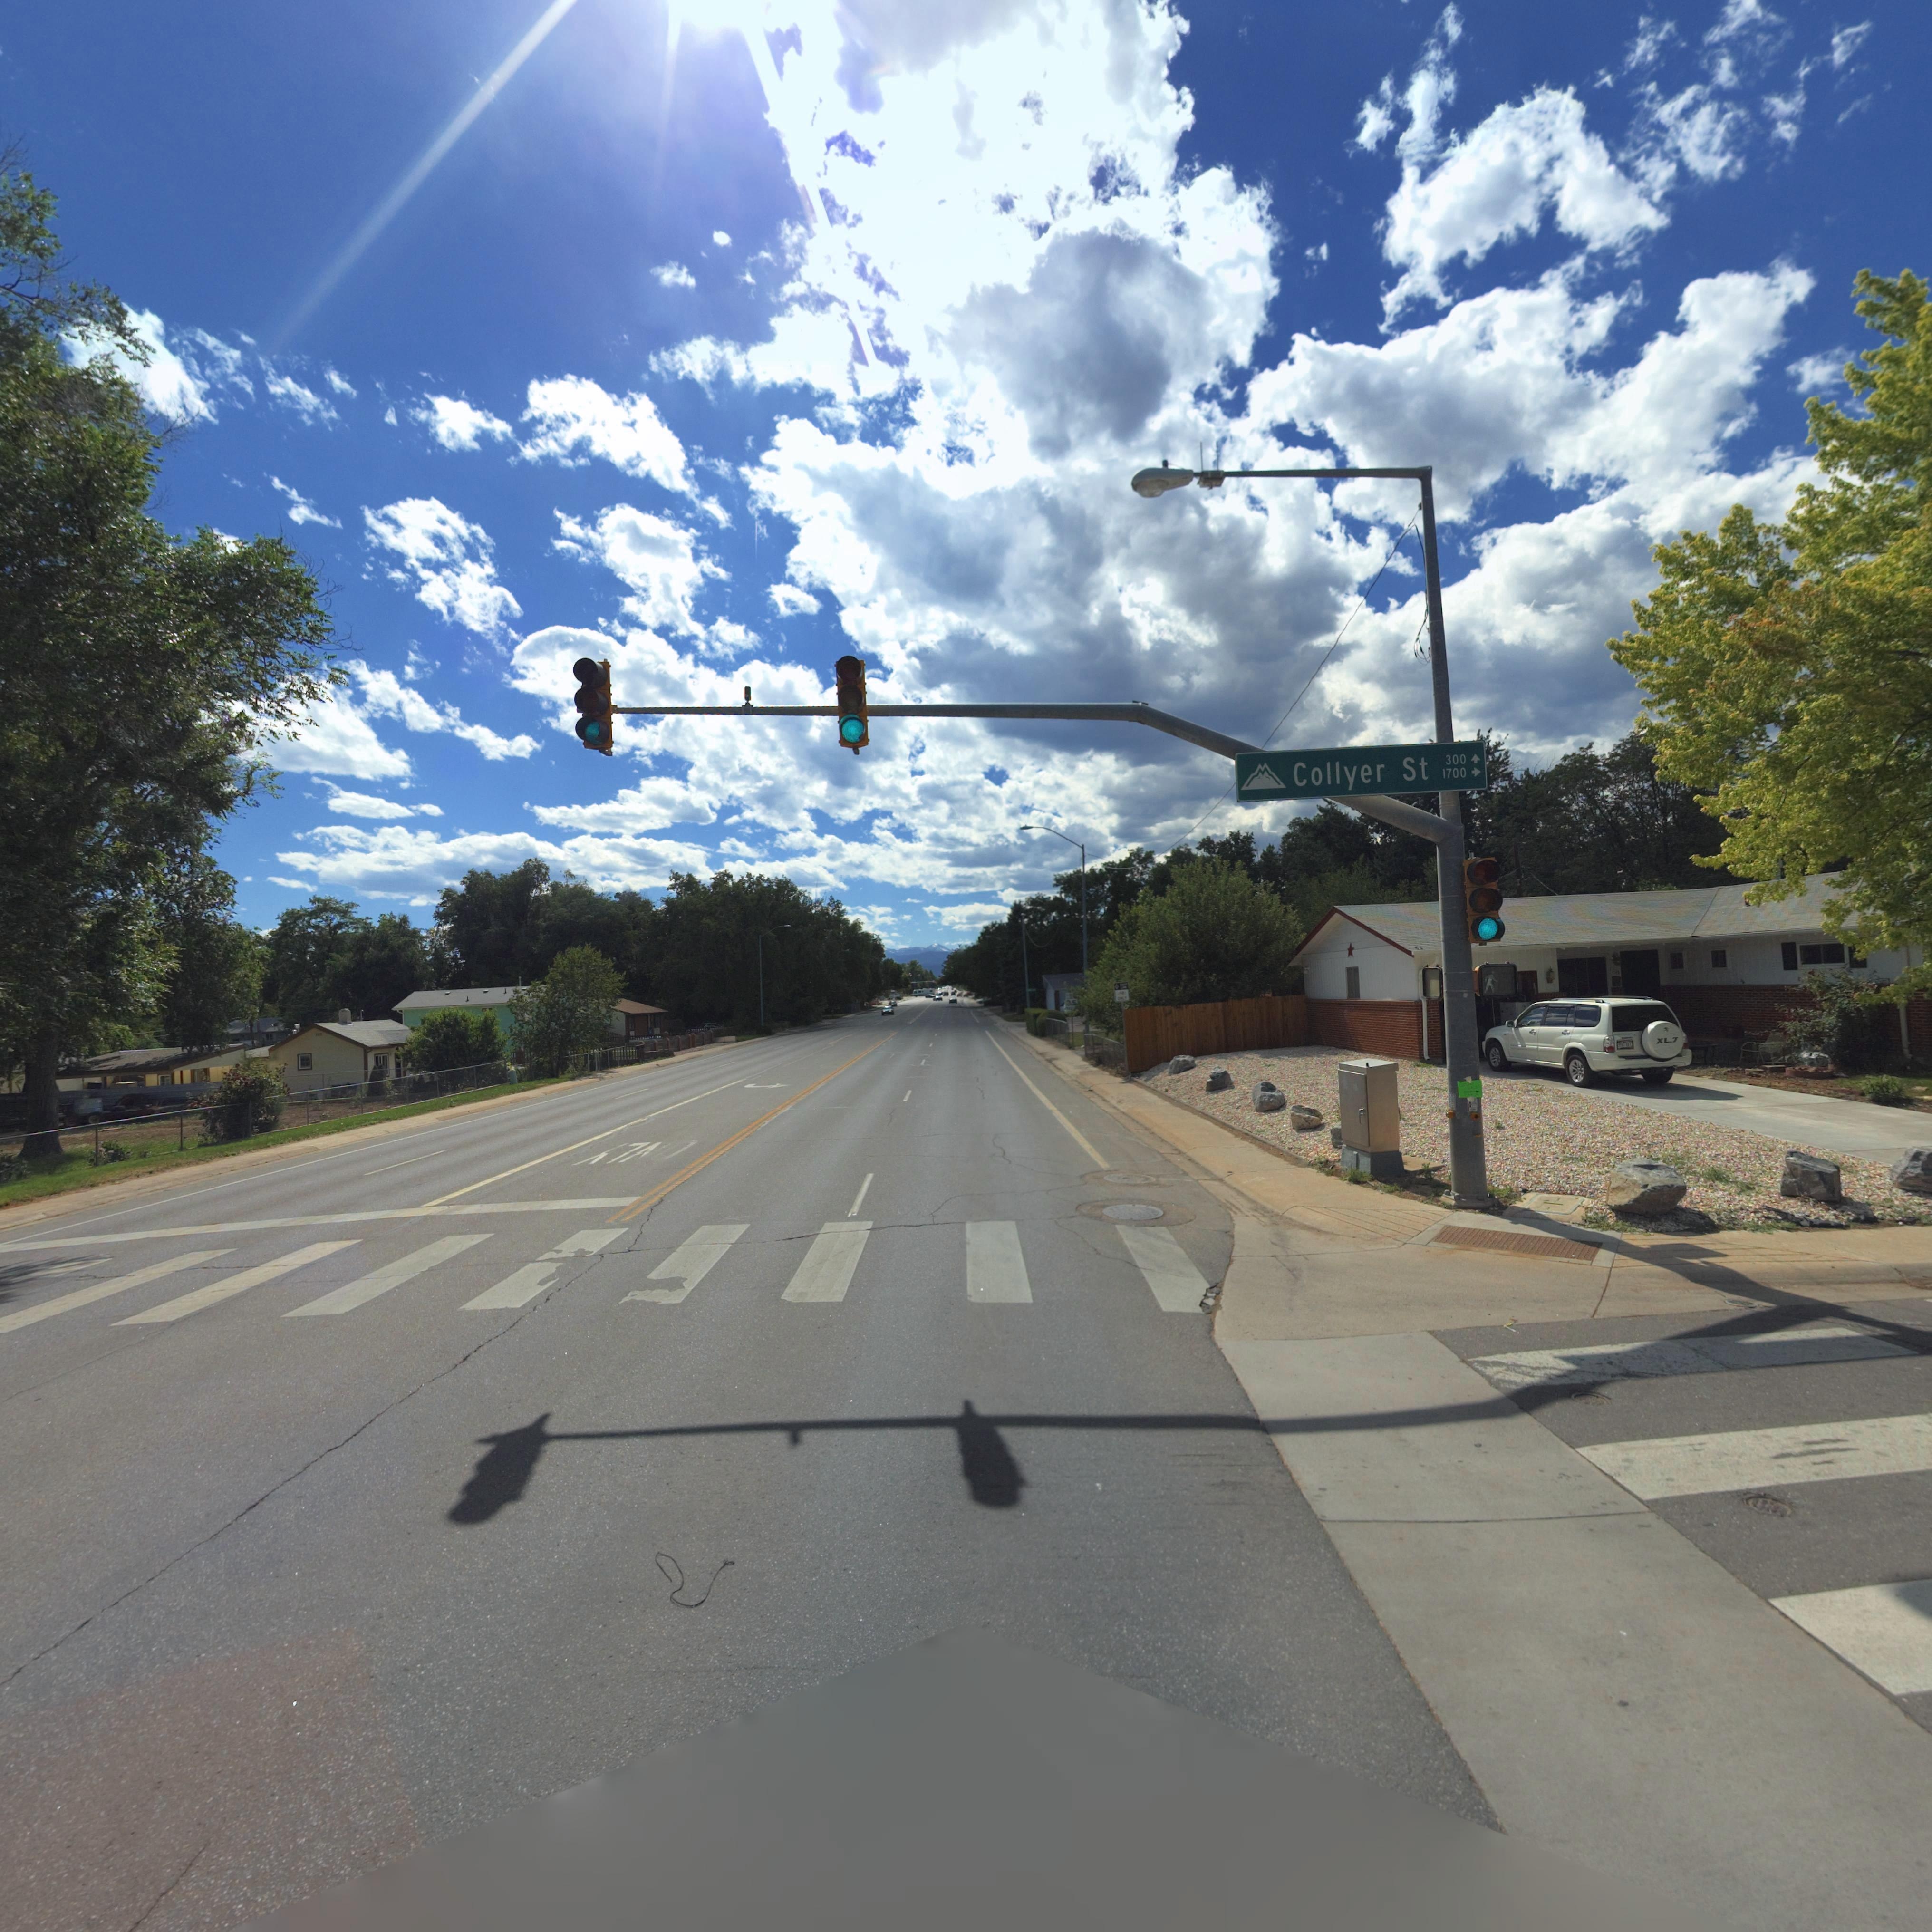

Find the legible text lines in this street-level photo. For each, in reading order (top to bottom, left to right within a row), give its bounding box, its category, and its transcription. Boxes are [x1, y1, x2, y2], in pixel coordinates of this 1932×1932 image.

[1445, 753, 1466, 765] StreetNumberRange: 300
[1293, 755, 1429, 791] StreetName: Collyer St
[1442, 767, 1481, 779] StreetNumberRange: 1700->
[1609, 966, 1620, 975] StreetNumber: 12*1